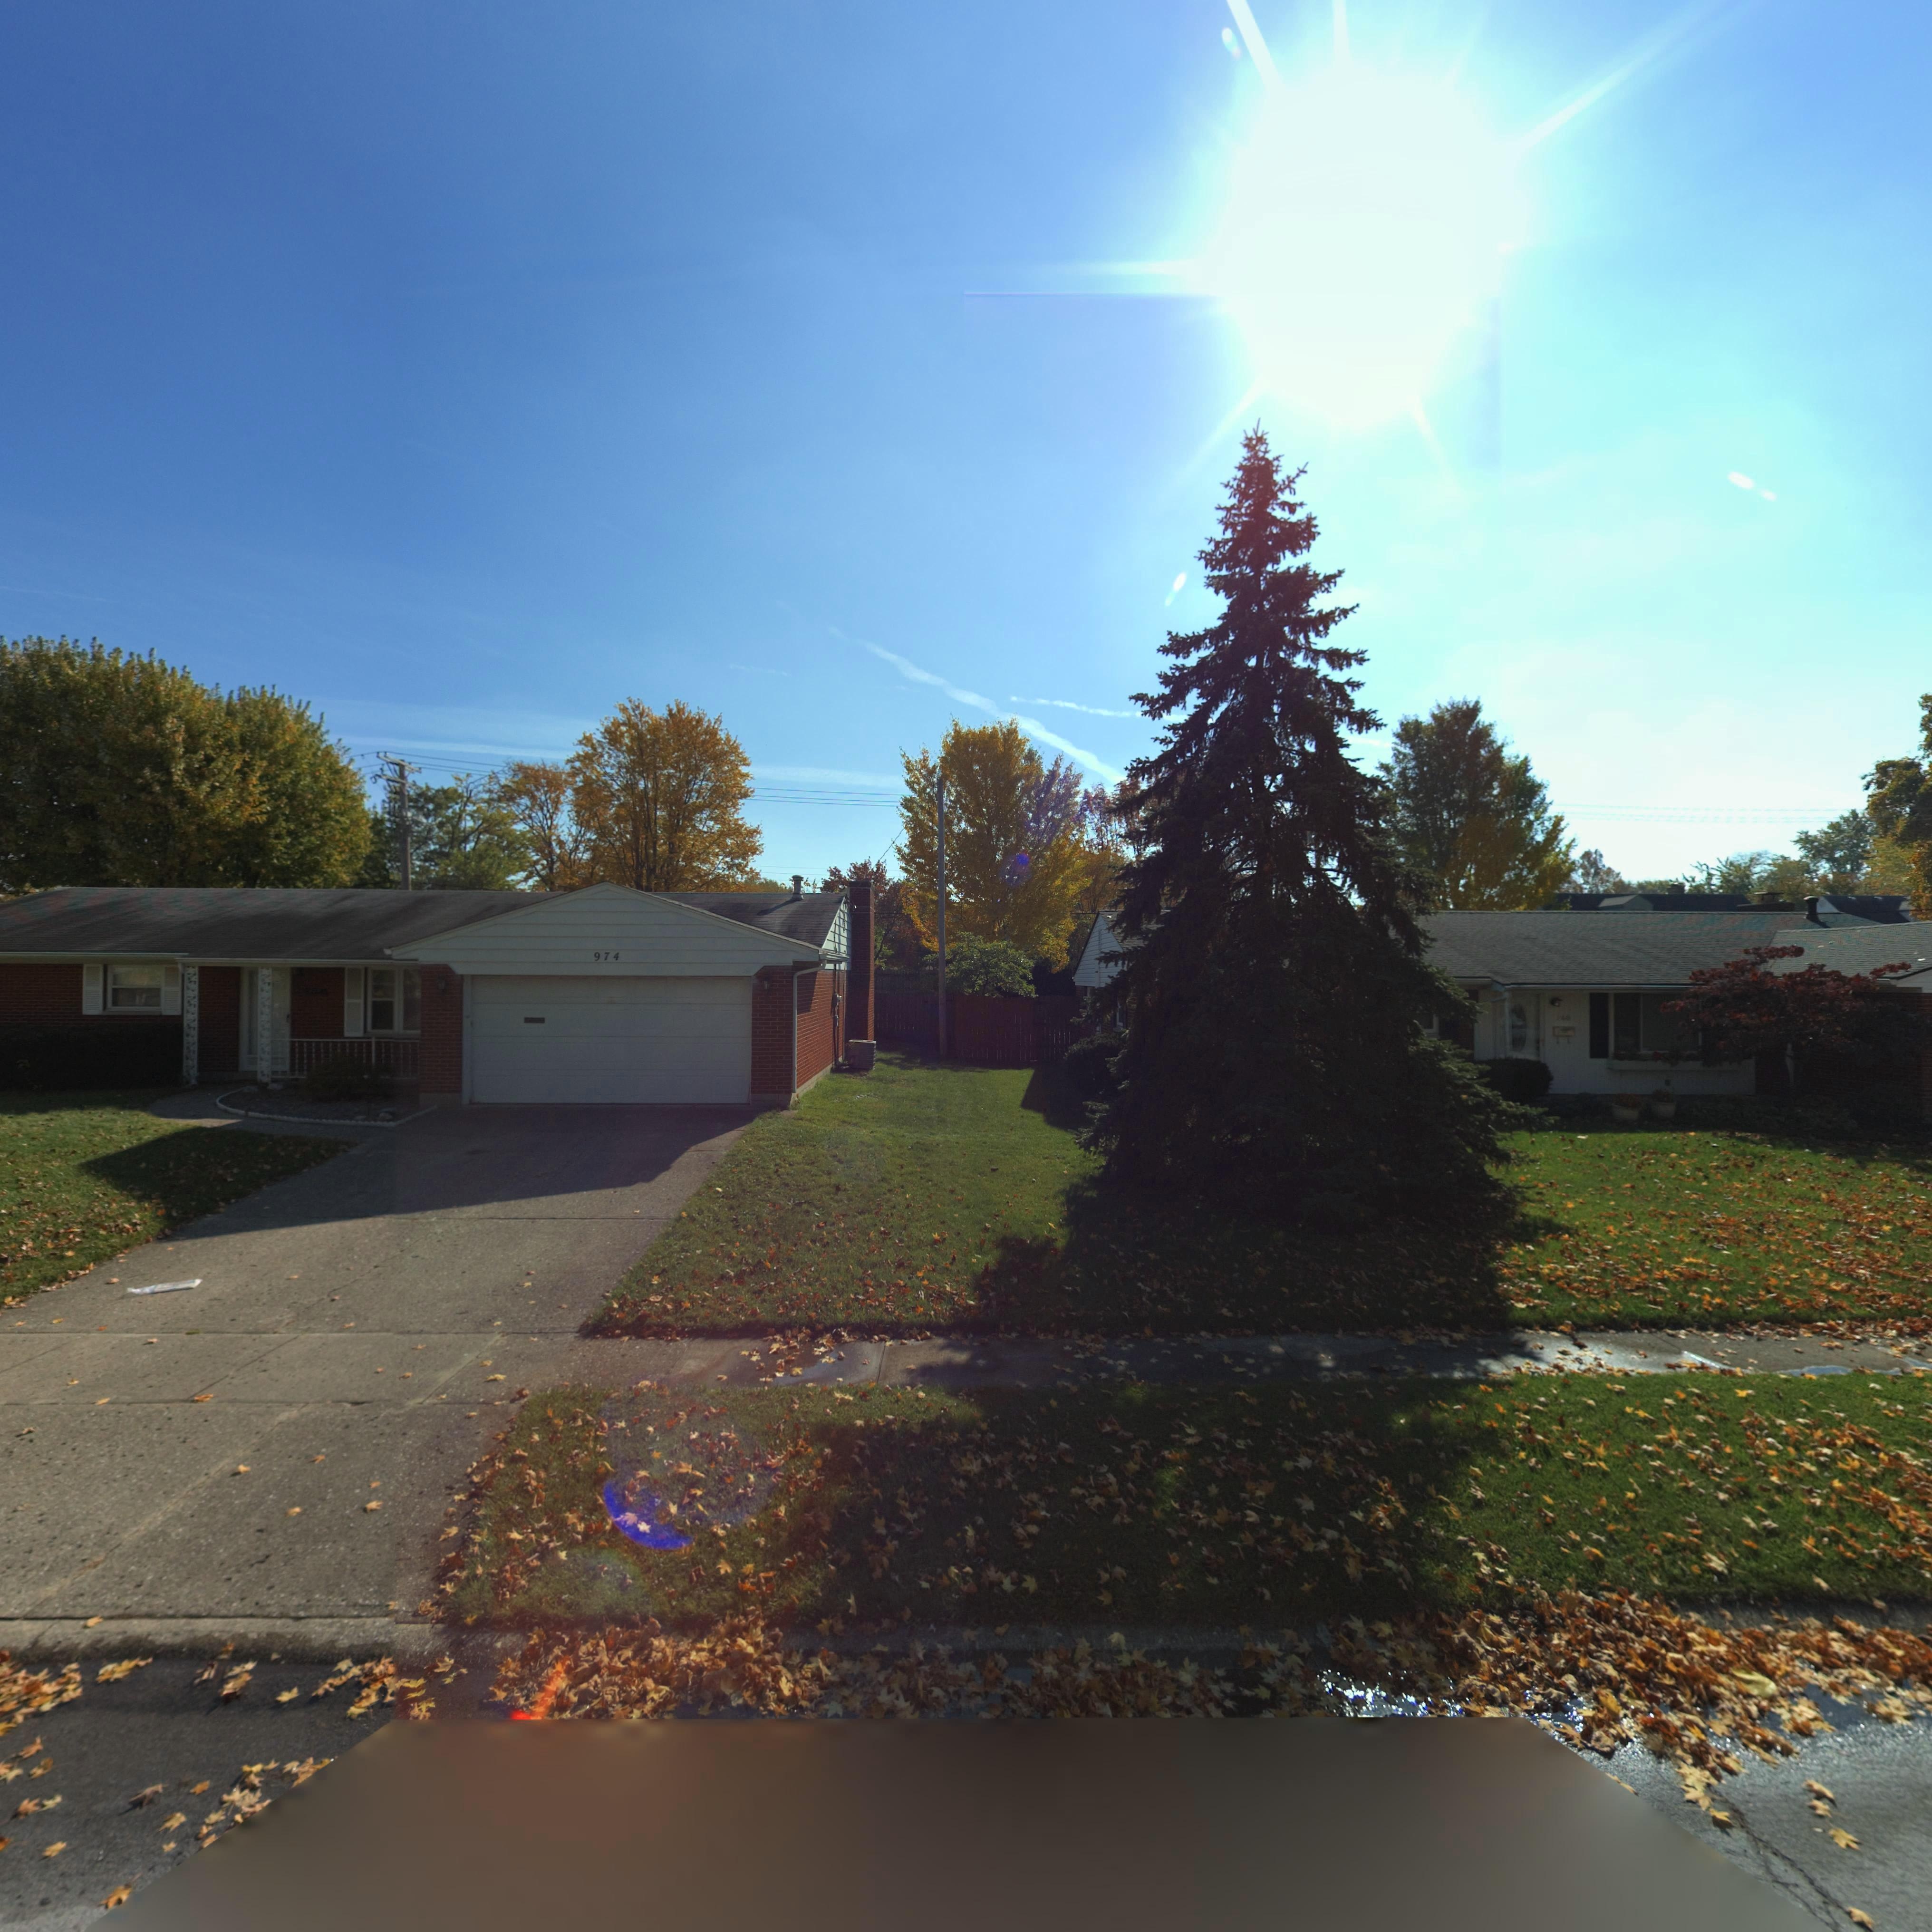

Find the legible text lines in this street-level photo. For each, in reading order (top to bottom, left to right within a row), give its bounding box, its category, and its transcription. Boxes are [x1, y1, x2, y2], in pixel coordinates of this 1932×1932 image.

[592, 951, 621, 962] StreetNumber: 974